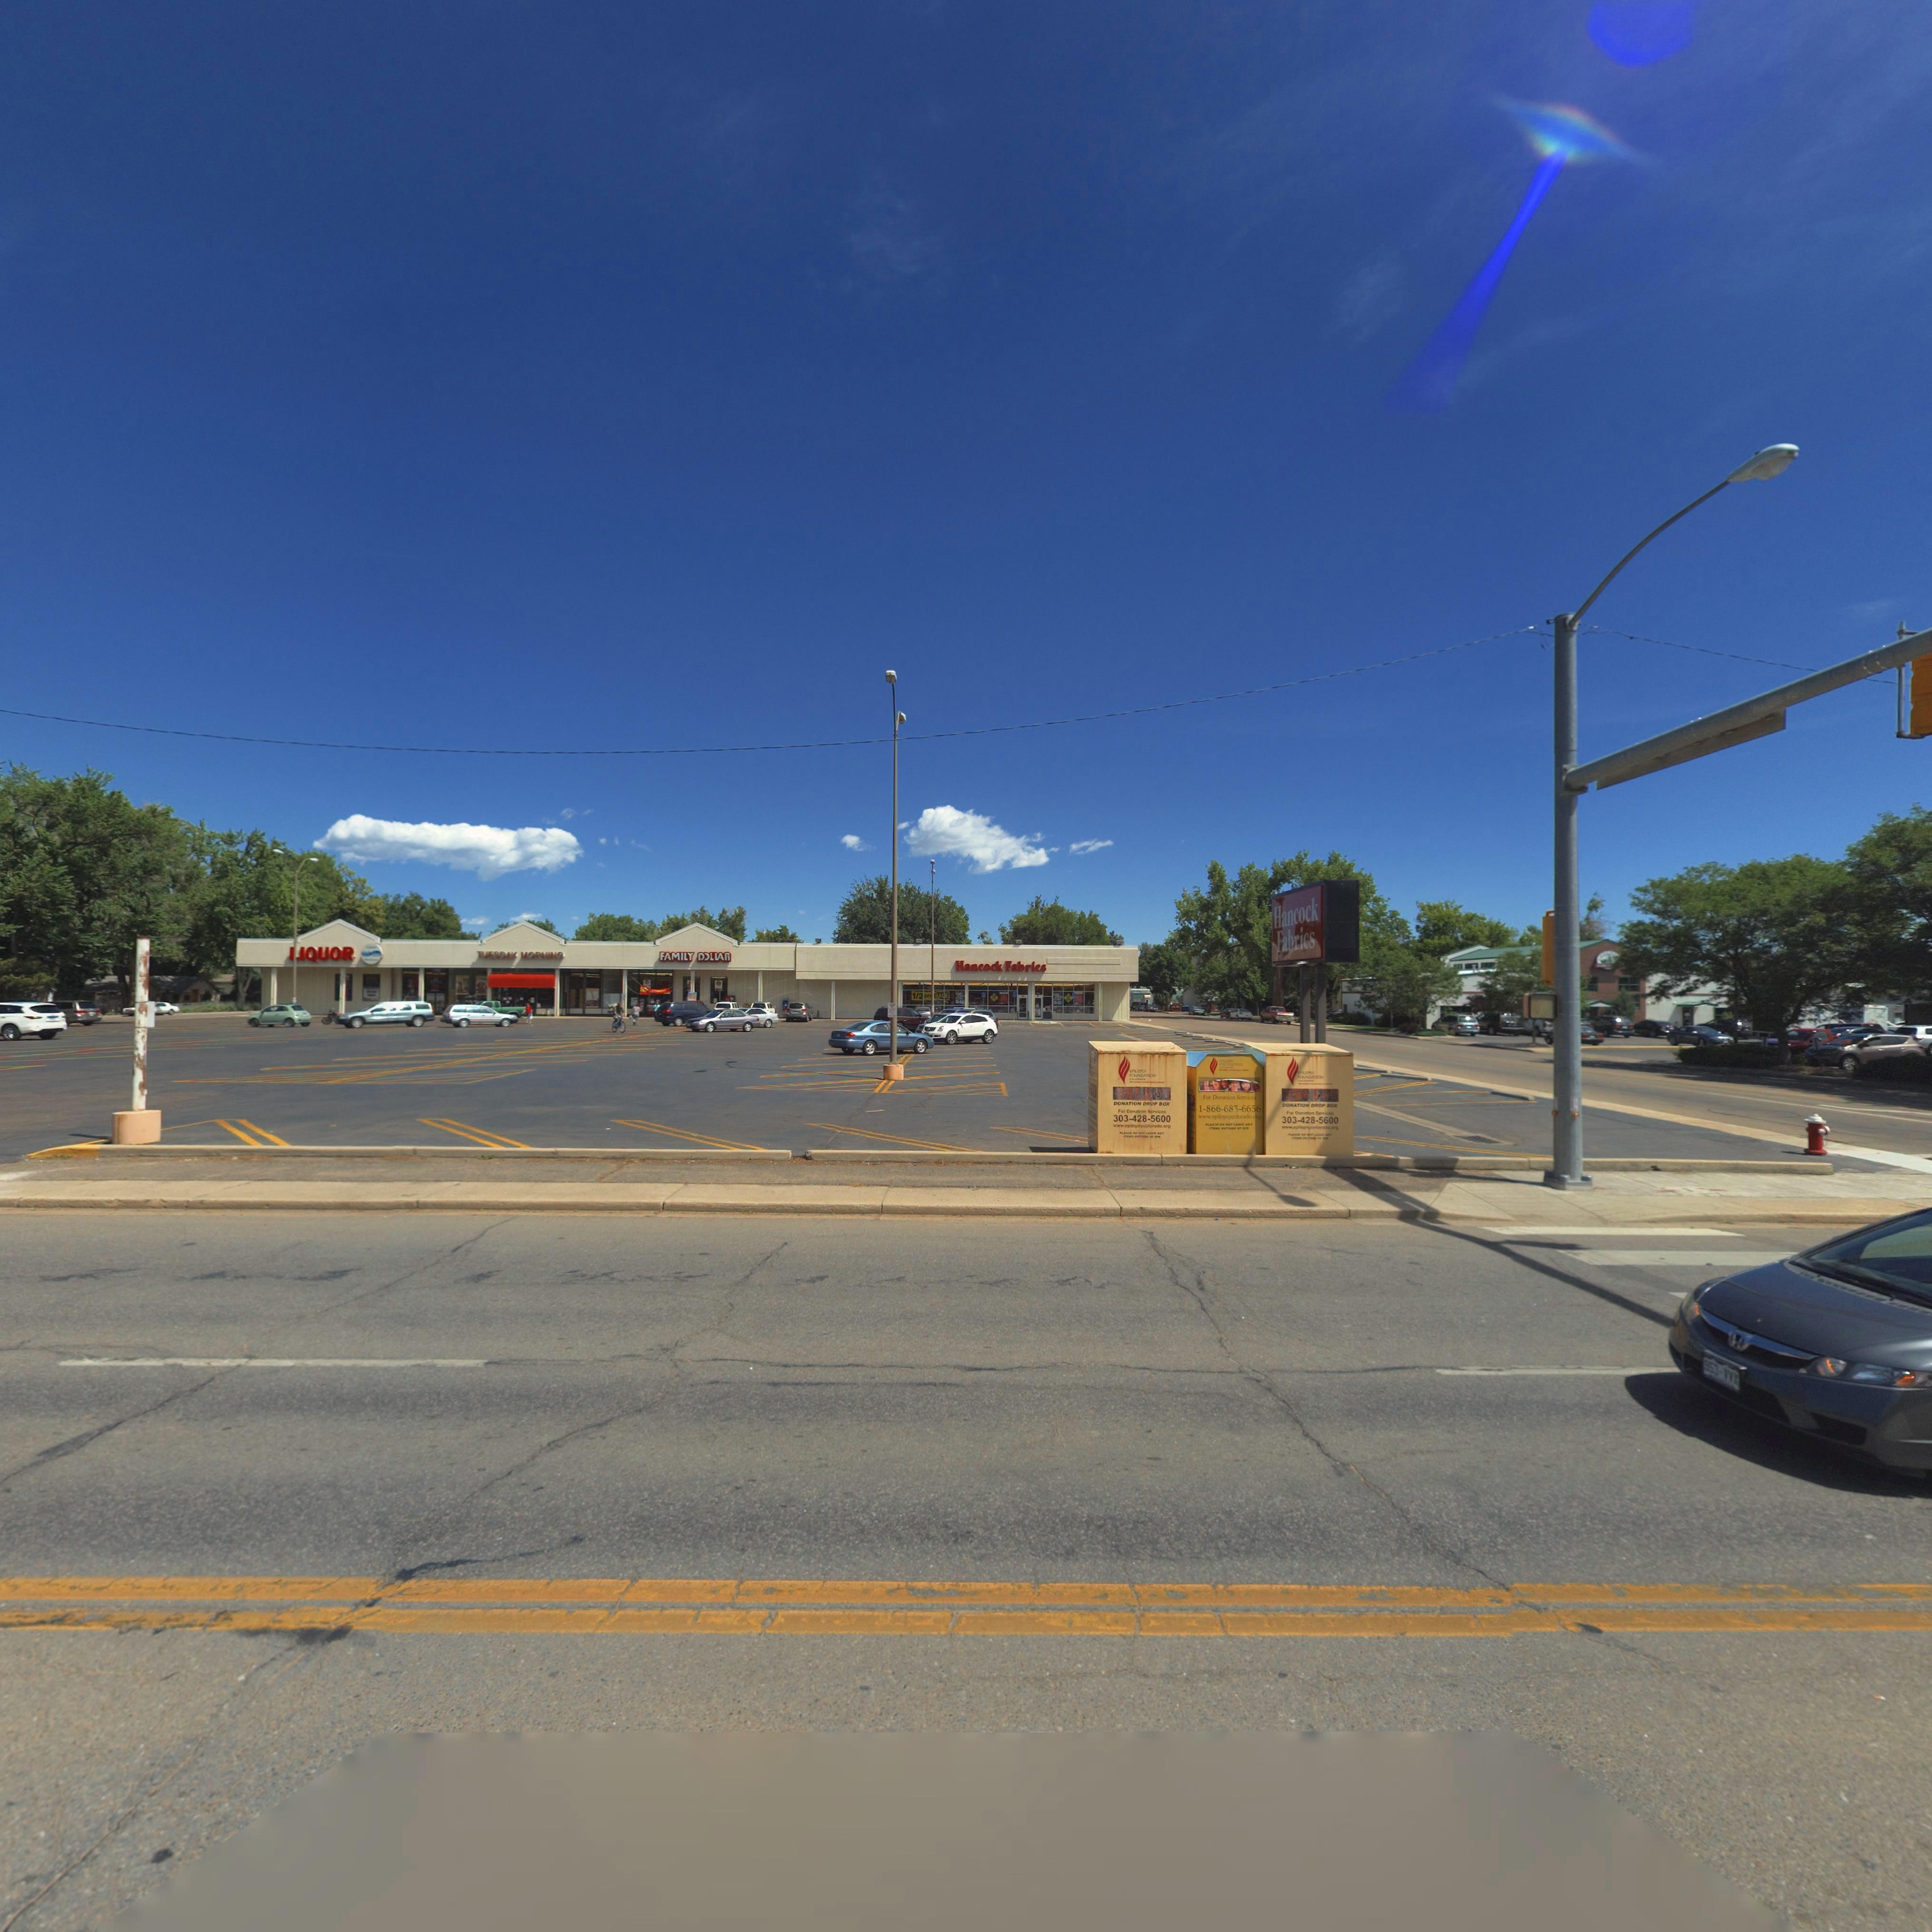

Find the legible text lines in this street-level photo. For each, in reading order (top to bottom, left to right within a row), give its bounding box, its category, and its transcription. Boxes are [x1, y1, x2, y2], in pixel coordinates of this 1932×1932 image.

[1273, 897, 1319, 929] BusinessName: Hancock
[1276, 926, 1316, 954] BusinessName: Fabrics
[474, 950, 564, 960] BusinessName: ***S**Y *O*****
[659, 951, 731, 961] BusinessName: FAMILY D*LLAR
[955, 960, 1047, 972] BusinessName: Hancock Fabrics